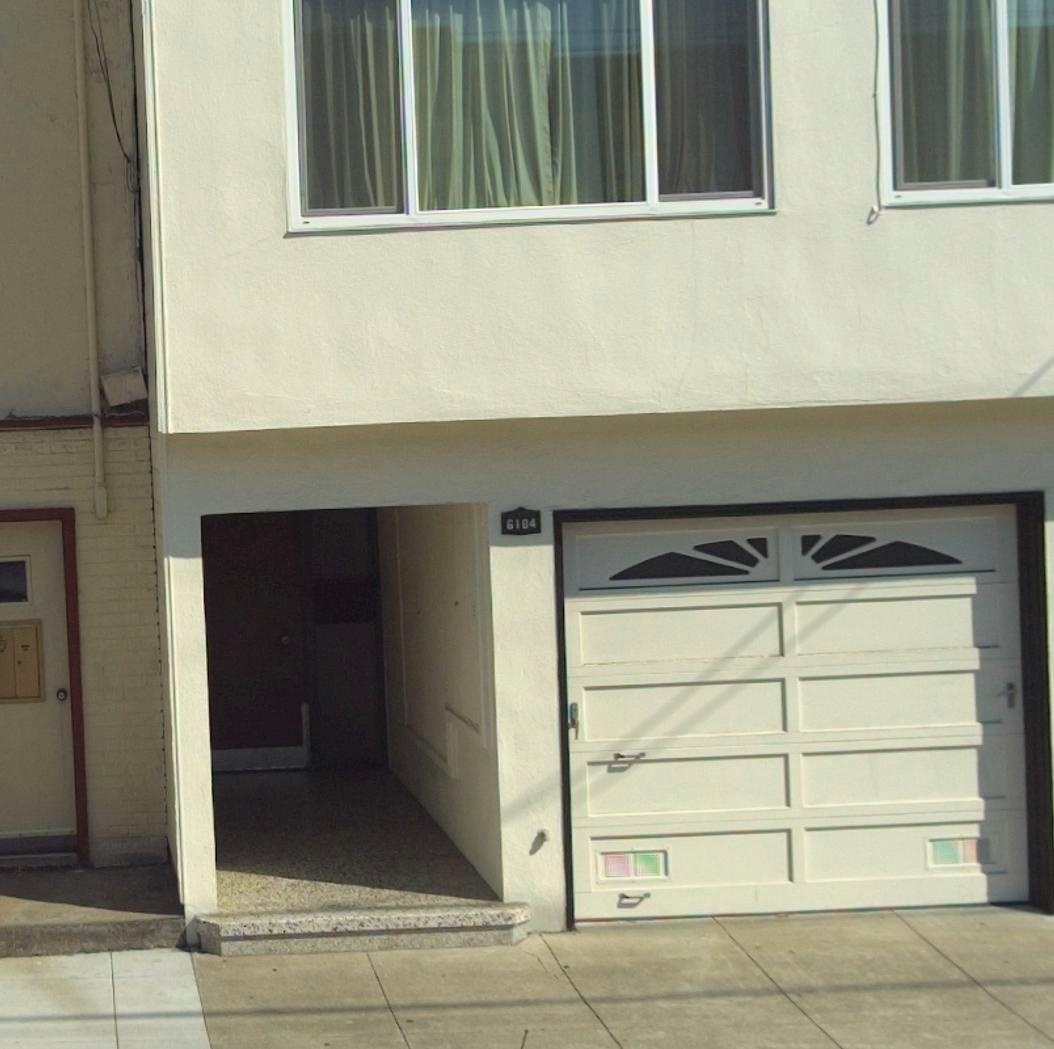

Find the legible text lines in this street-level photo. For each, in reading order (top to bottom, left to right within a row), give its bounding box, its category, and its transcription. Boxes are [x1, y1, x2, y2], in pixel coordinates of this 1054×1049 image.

[503, 513, 540, 533] StreetNumber: 6104